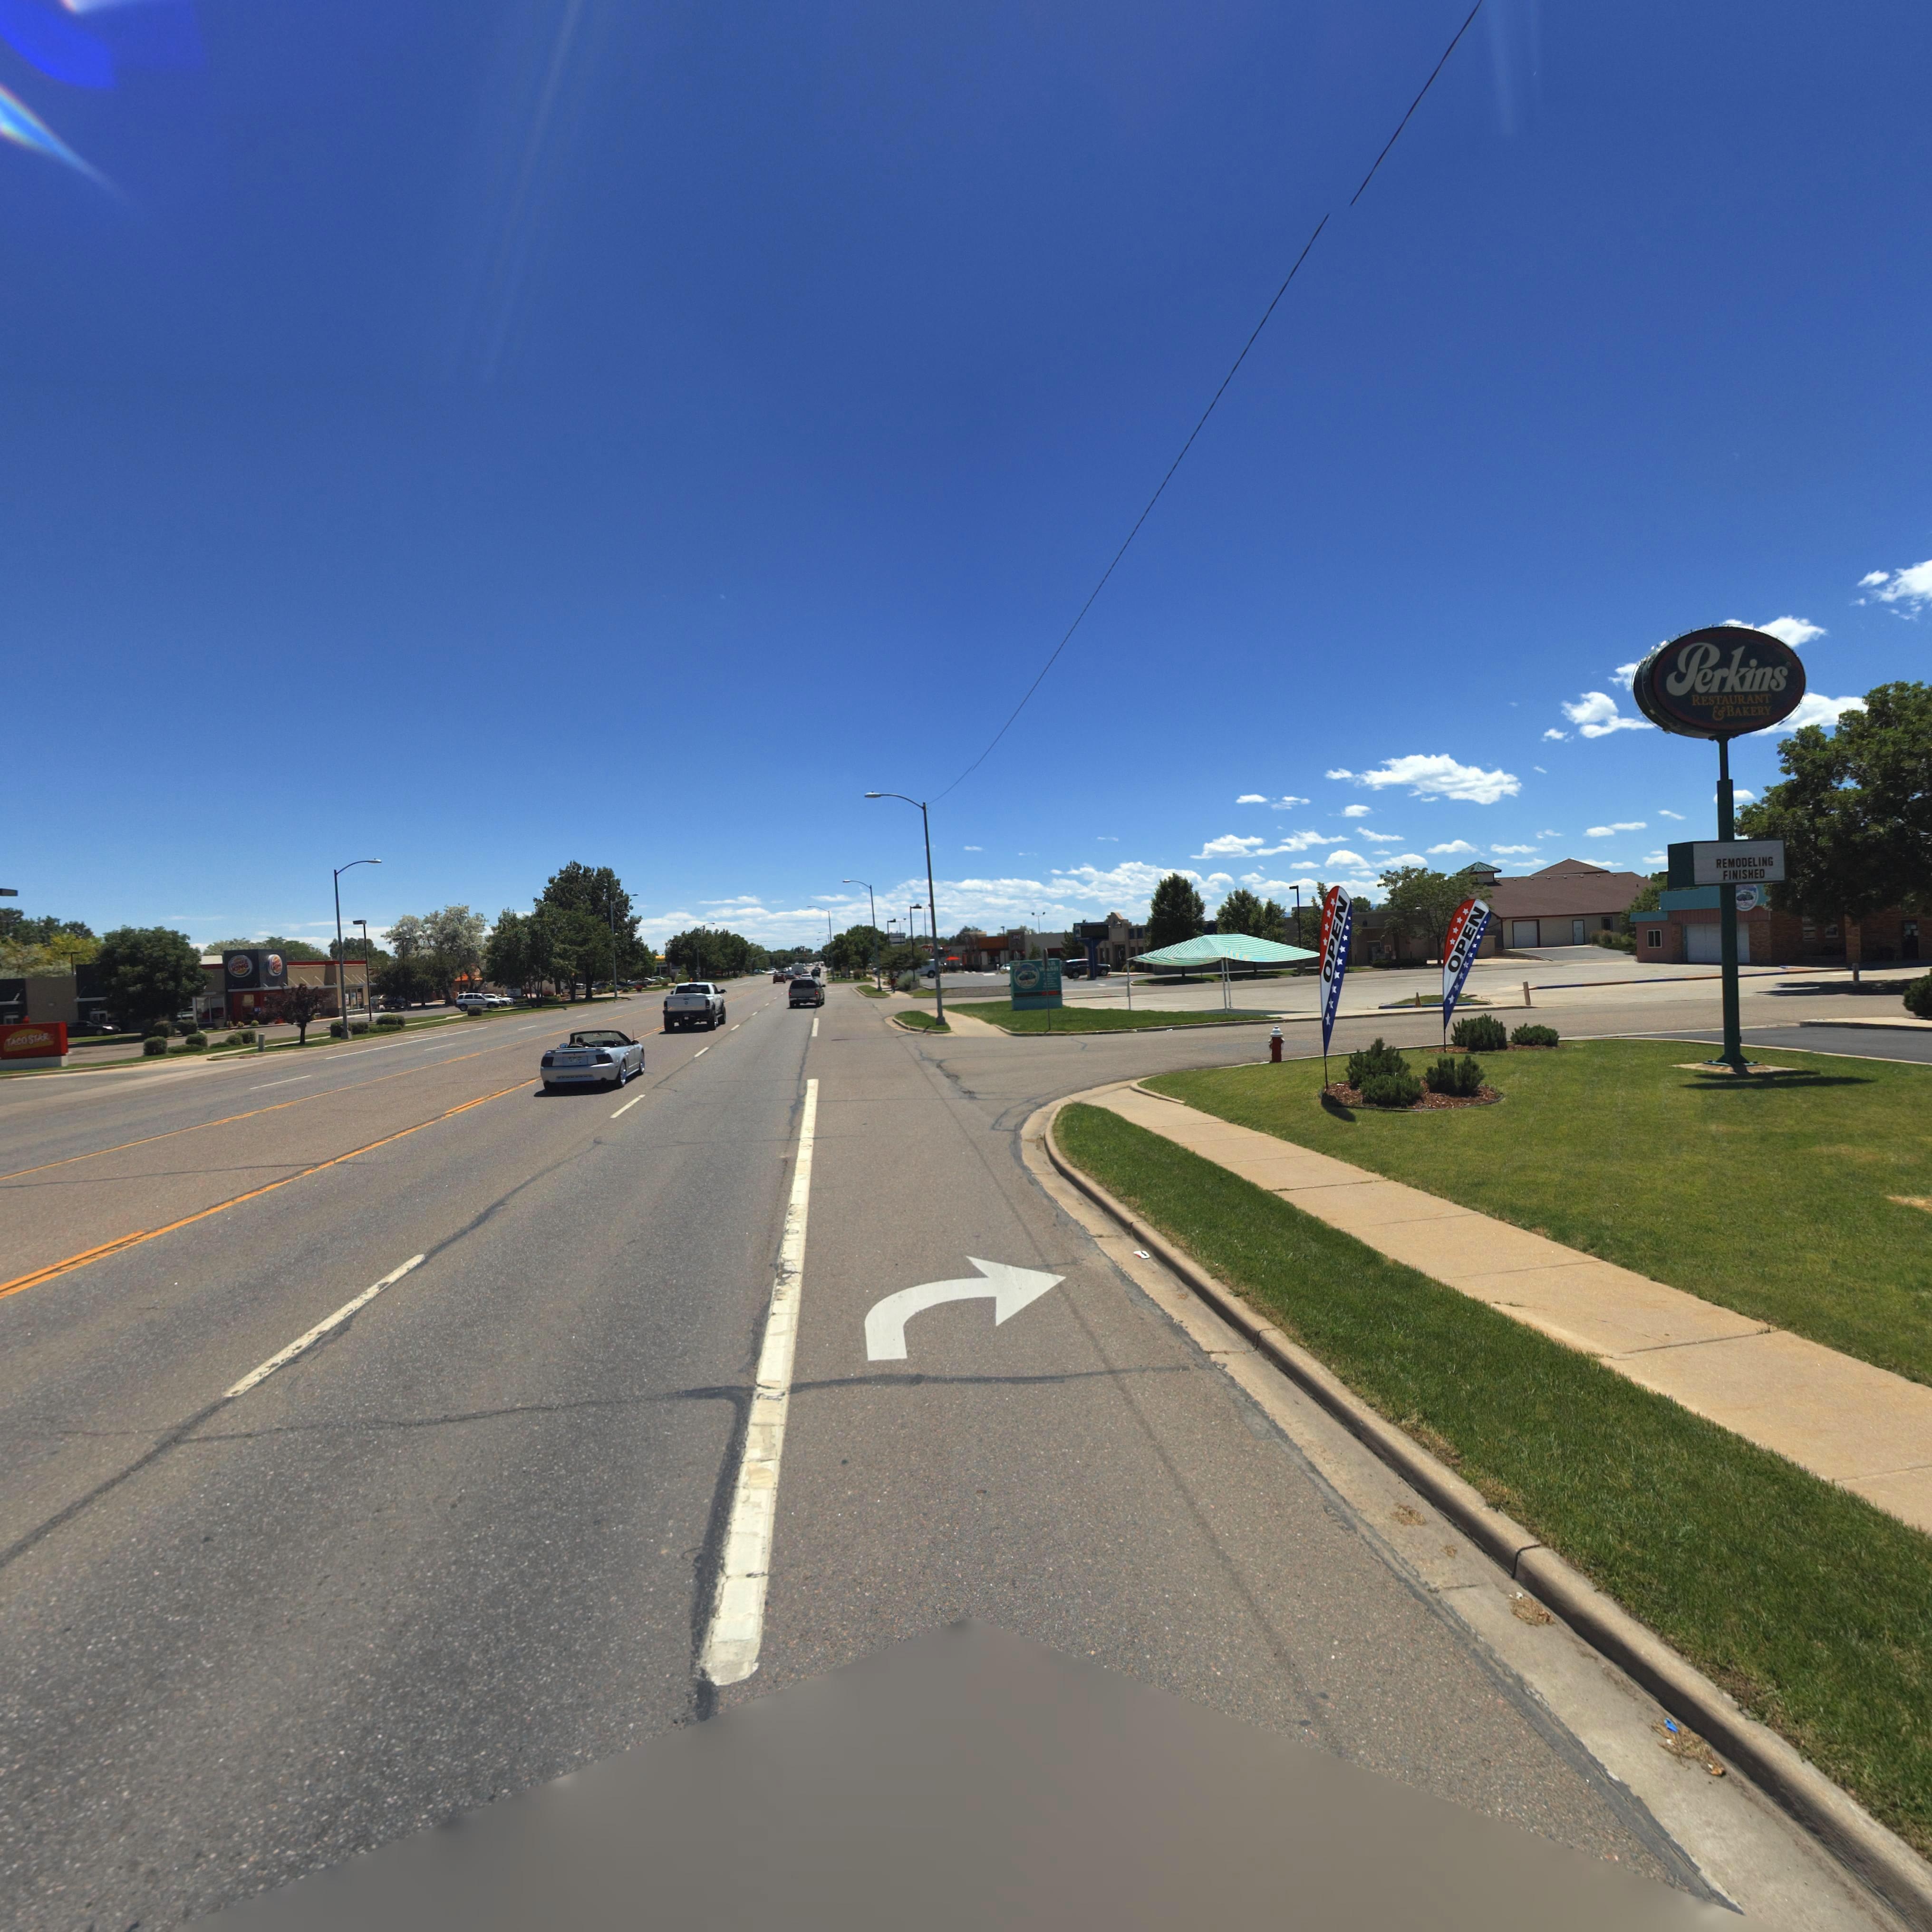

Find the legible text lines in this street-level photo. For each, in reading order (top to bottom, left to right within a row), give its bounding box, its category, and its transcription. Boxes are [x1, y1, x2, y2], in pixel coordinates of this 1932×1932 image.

[1663, 638, 1788, 698] BusinessName: Perkins
[1690, 694, 1771, 705] BusinessName: RESTAURANT
[1710, 705, 1772, 721] BusinessName: * BAKERY
[1013, 935, 1021, 939] BusinessName: D*
[231, 958, 248, 967] BusinessName: ***GER
[232, 962, 249, 972] BusinessName: KING
[5, 1032, 49, 1048] BusinessName: TACO STAR